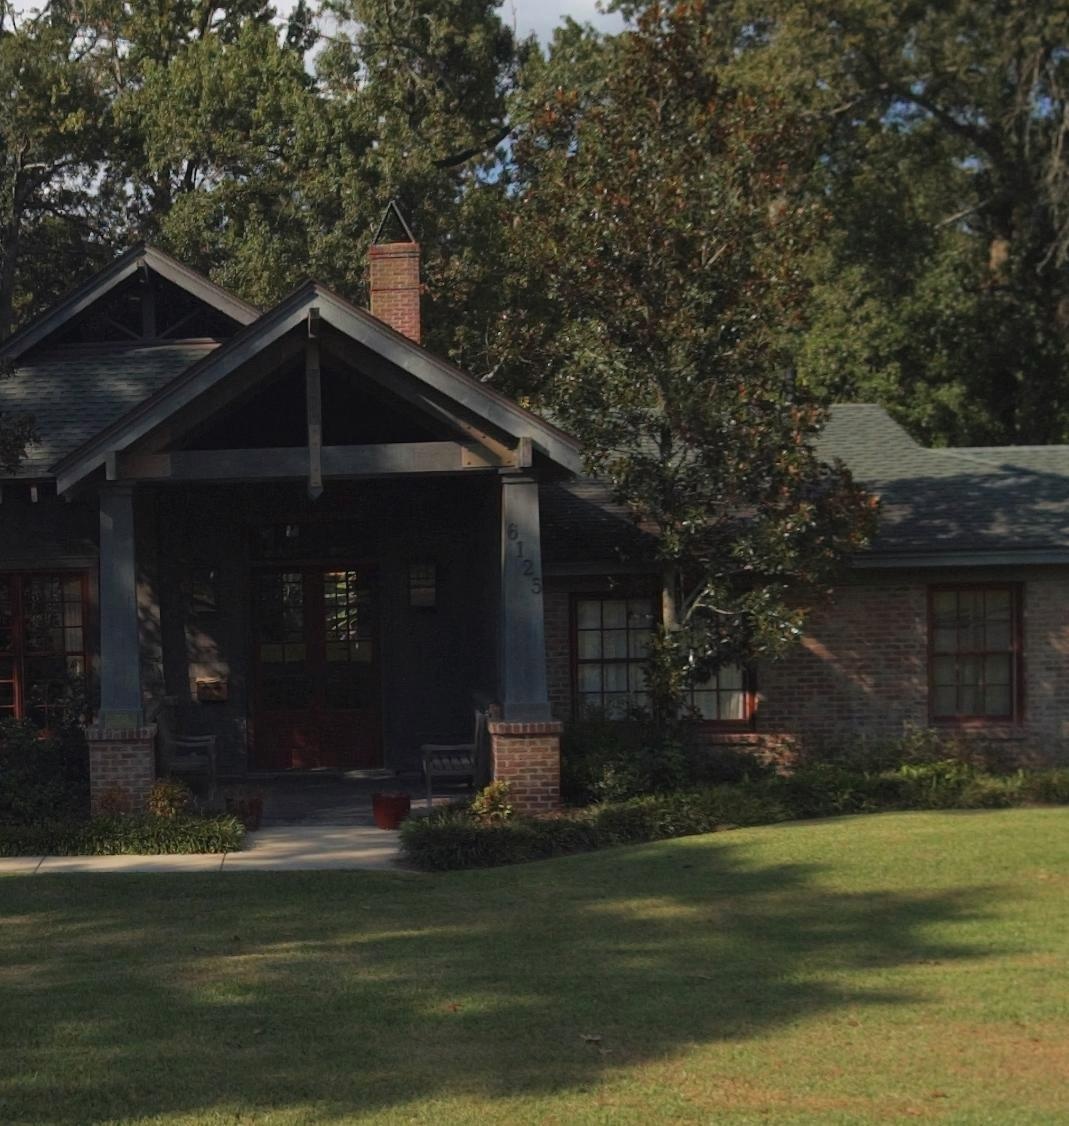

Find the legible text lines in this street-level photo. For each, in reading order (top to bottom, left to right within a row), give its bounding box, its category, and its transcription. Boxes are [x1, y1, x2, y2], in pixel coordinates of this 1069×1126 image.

[507, 523, 542, 595] StreetNumber: 6125